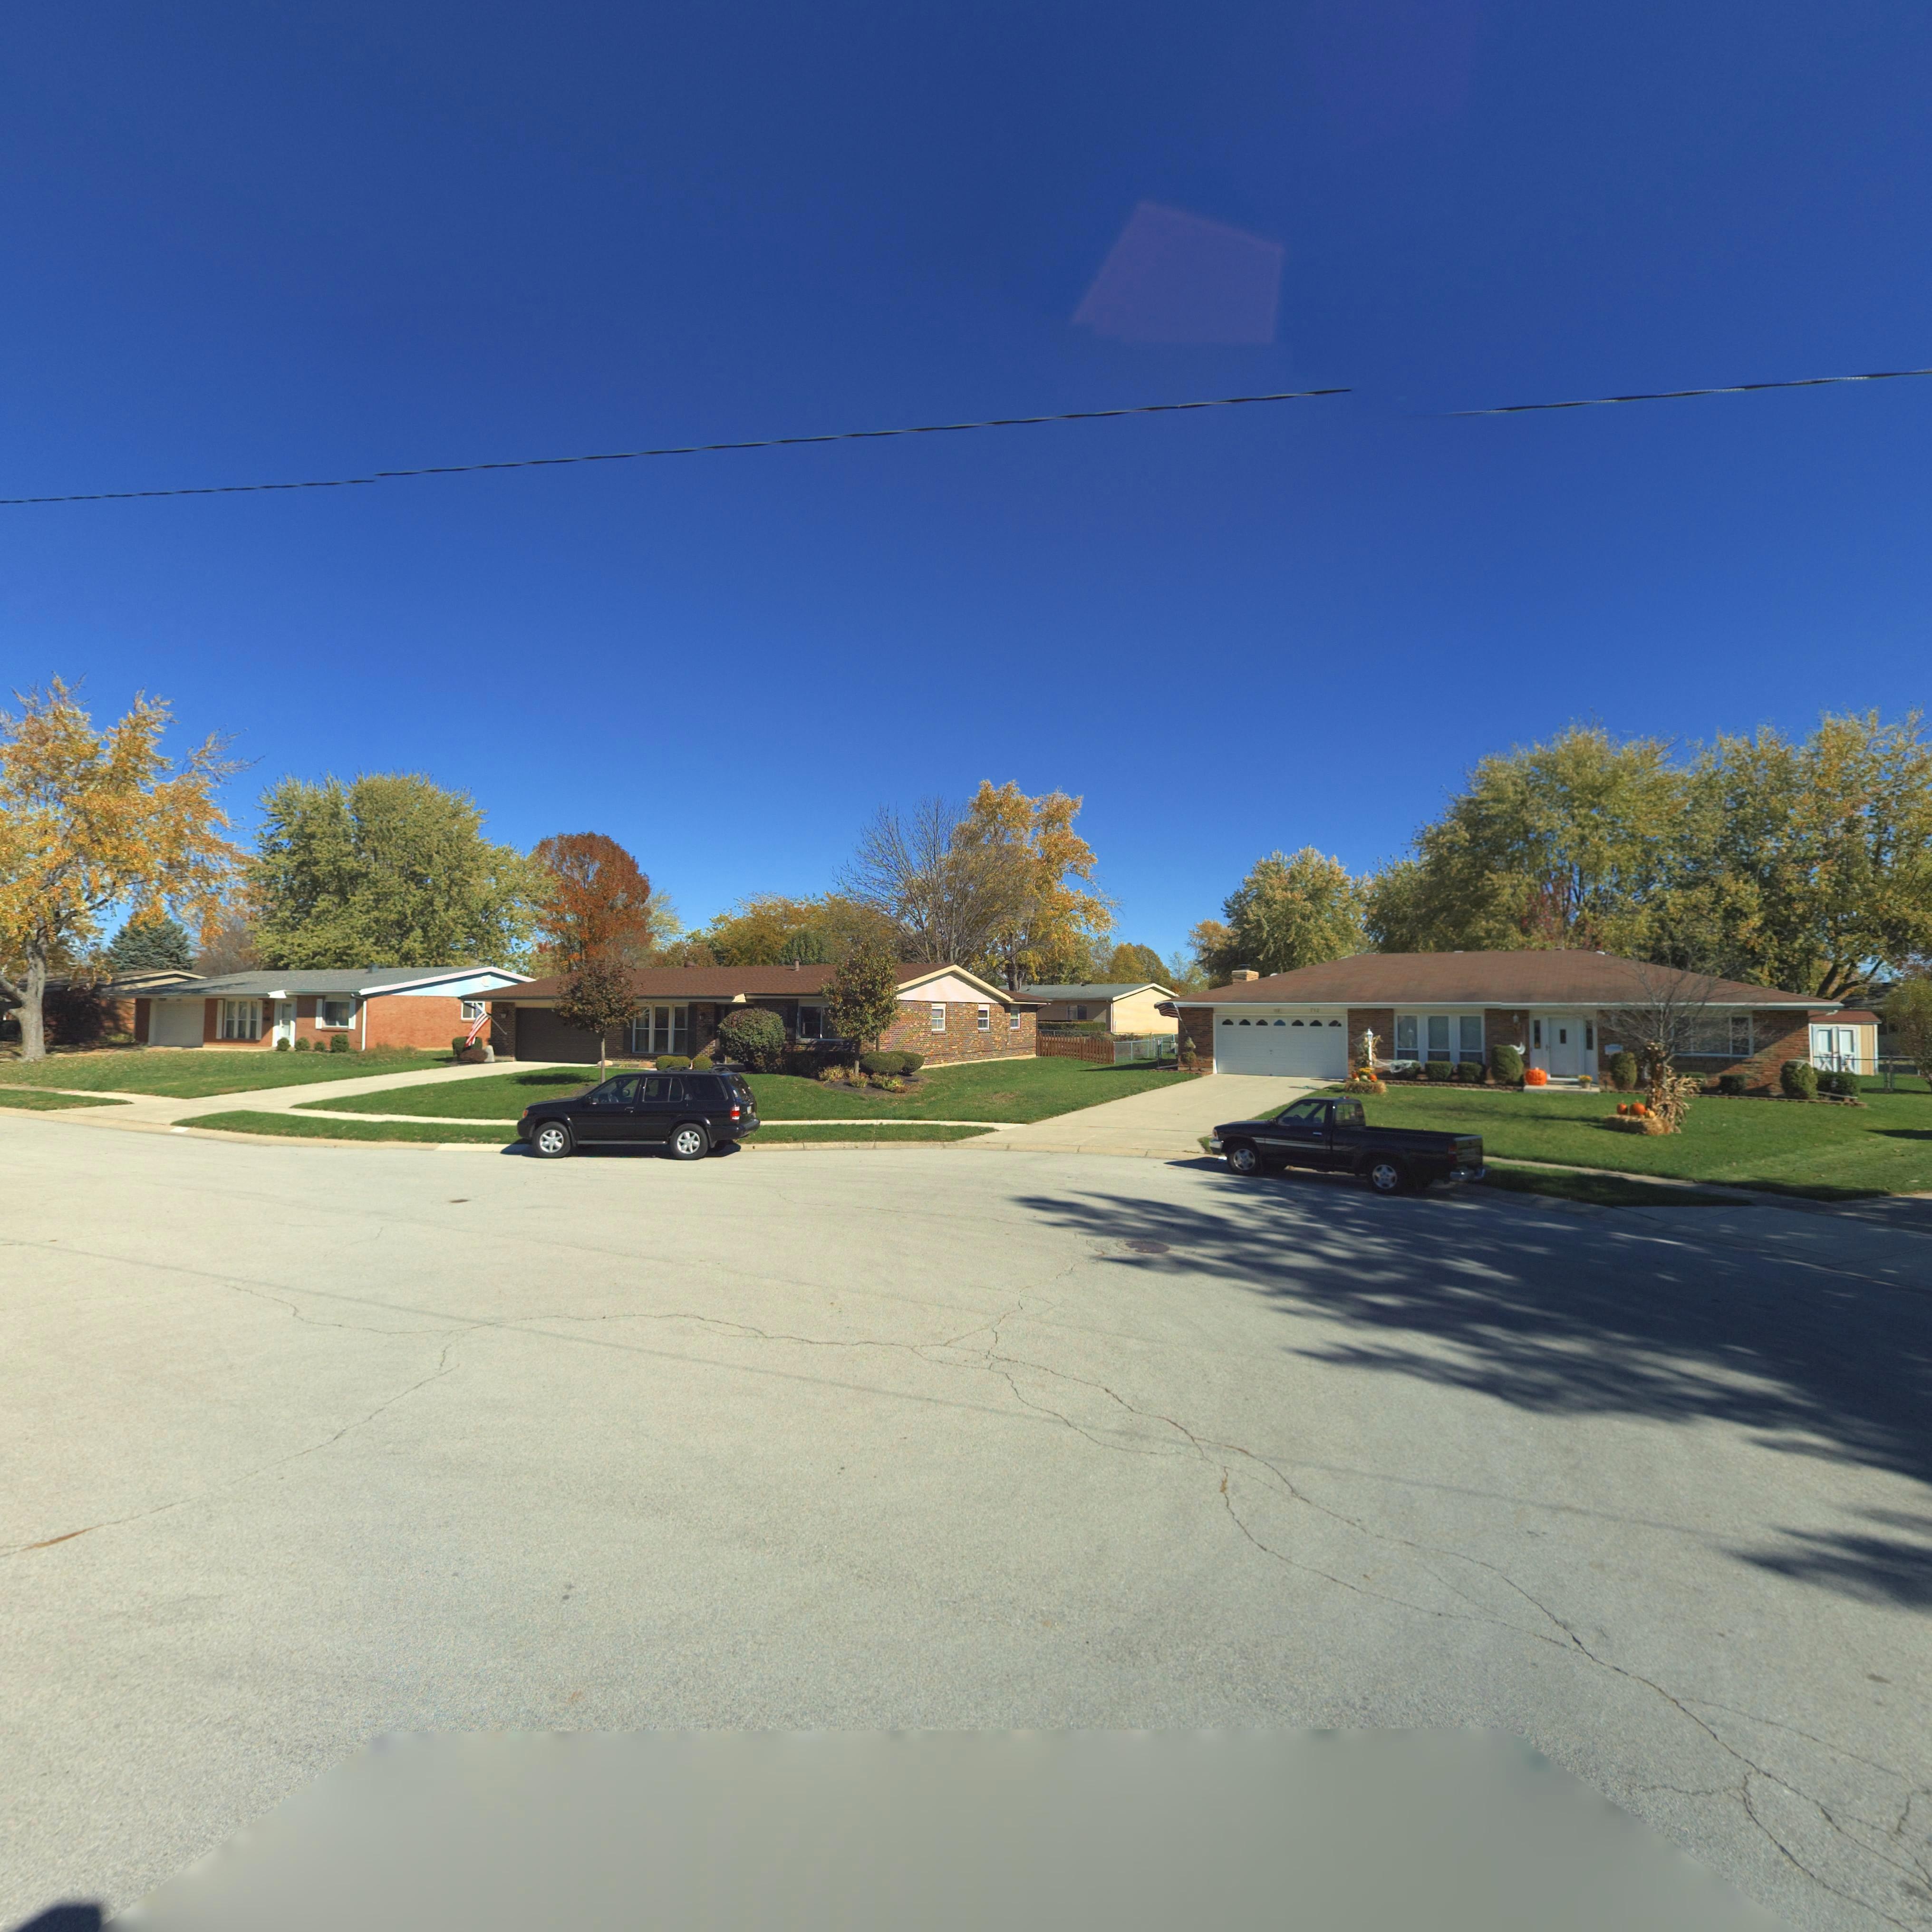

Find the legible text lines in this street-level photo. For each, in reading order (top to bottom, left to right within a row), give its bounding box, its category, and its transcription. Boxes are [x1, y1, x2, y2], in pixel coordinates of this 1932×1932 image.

[1310, 1008, 1320, 1013] StreetNumber: 712